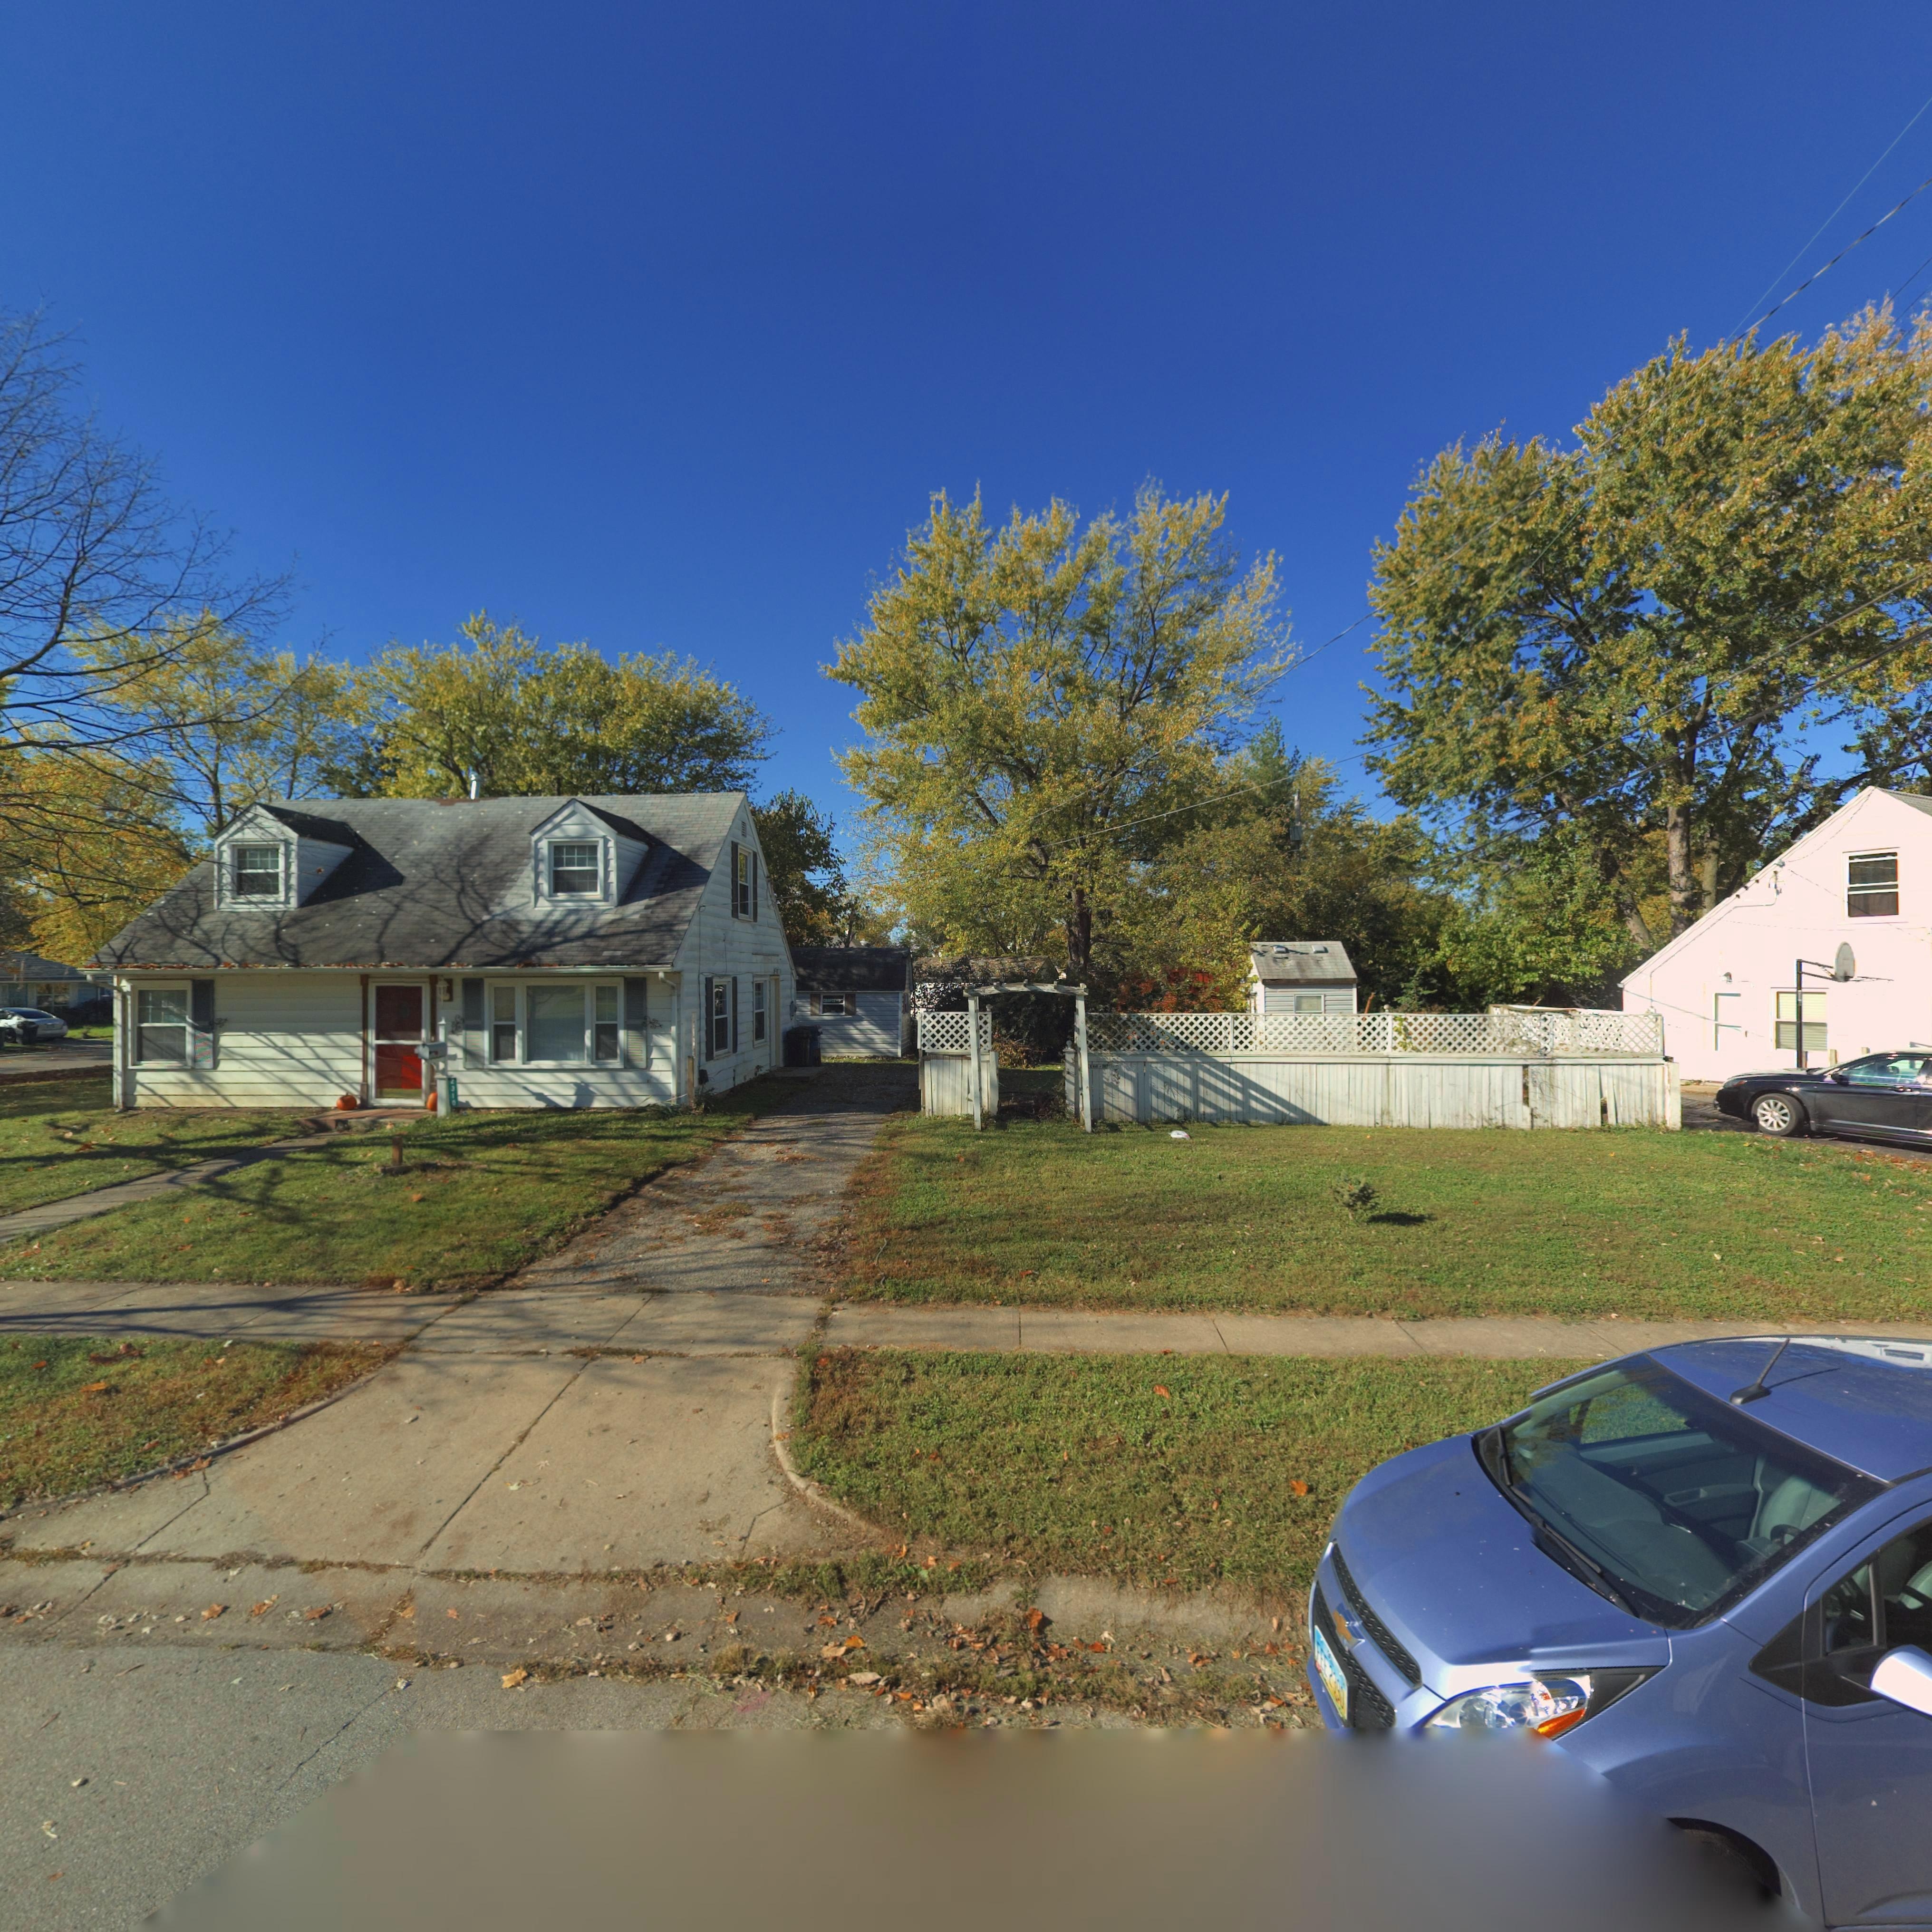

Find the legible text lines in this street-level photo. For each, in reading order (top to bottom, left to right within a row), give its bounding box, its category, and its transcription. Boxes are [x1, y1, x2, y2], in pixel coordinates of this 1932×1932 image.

[449, 1078, 457, 1108] StreetNumber: *310